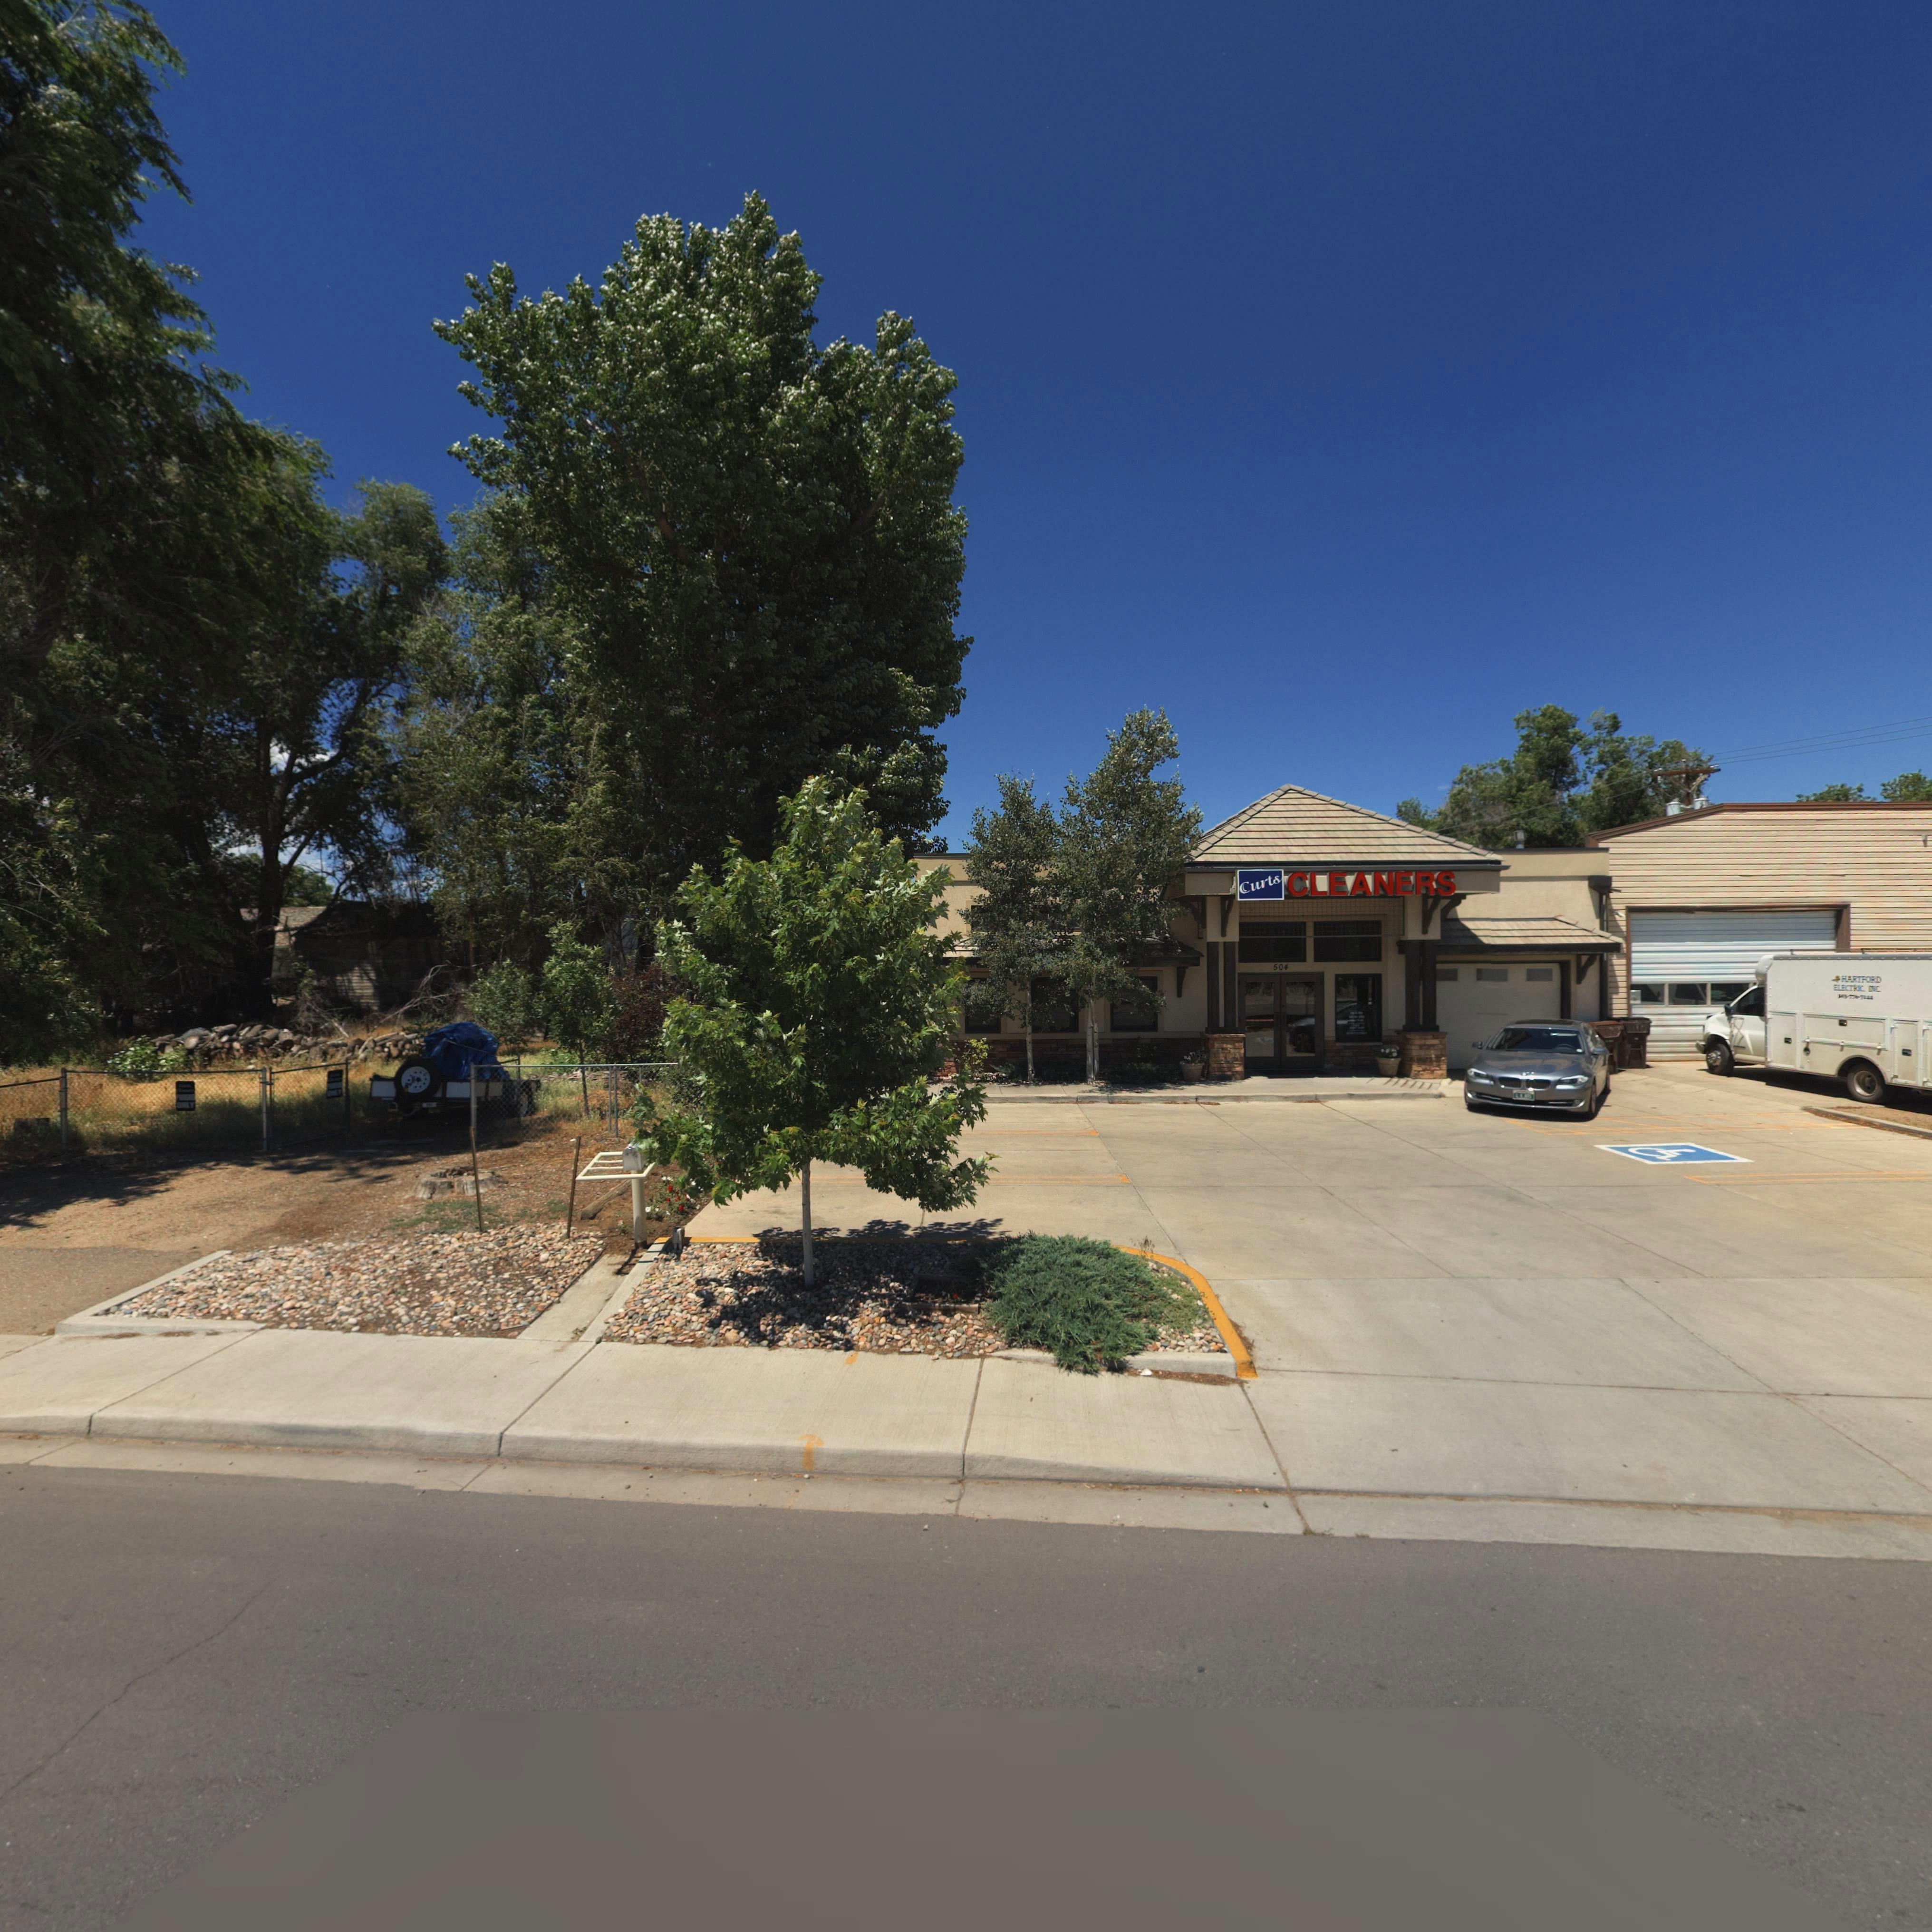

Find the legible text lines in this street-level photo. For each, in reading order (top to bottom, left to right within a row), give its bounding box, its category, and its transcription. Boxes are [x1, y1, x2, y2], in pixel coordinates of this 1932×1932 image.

[1239, 875, 1281, 894] BusinessName: Curts
[1286, 870, 1456, 897] BusinessName: CLEANERS
[1273, 963, 1288, 970] StreetNumber: 504